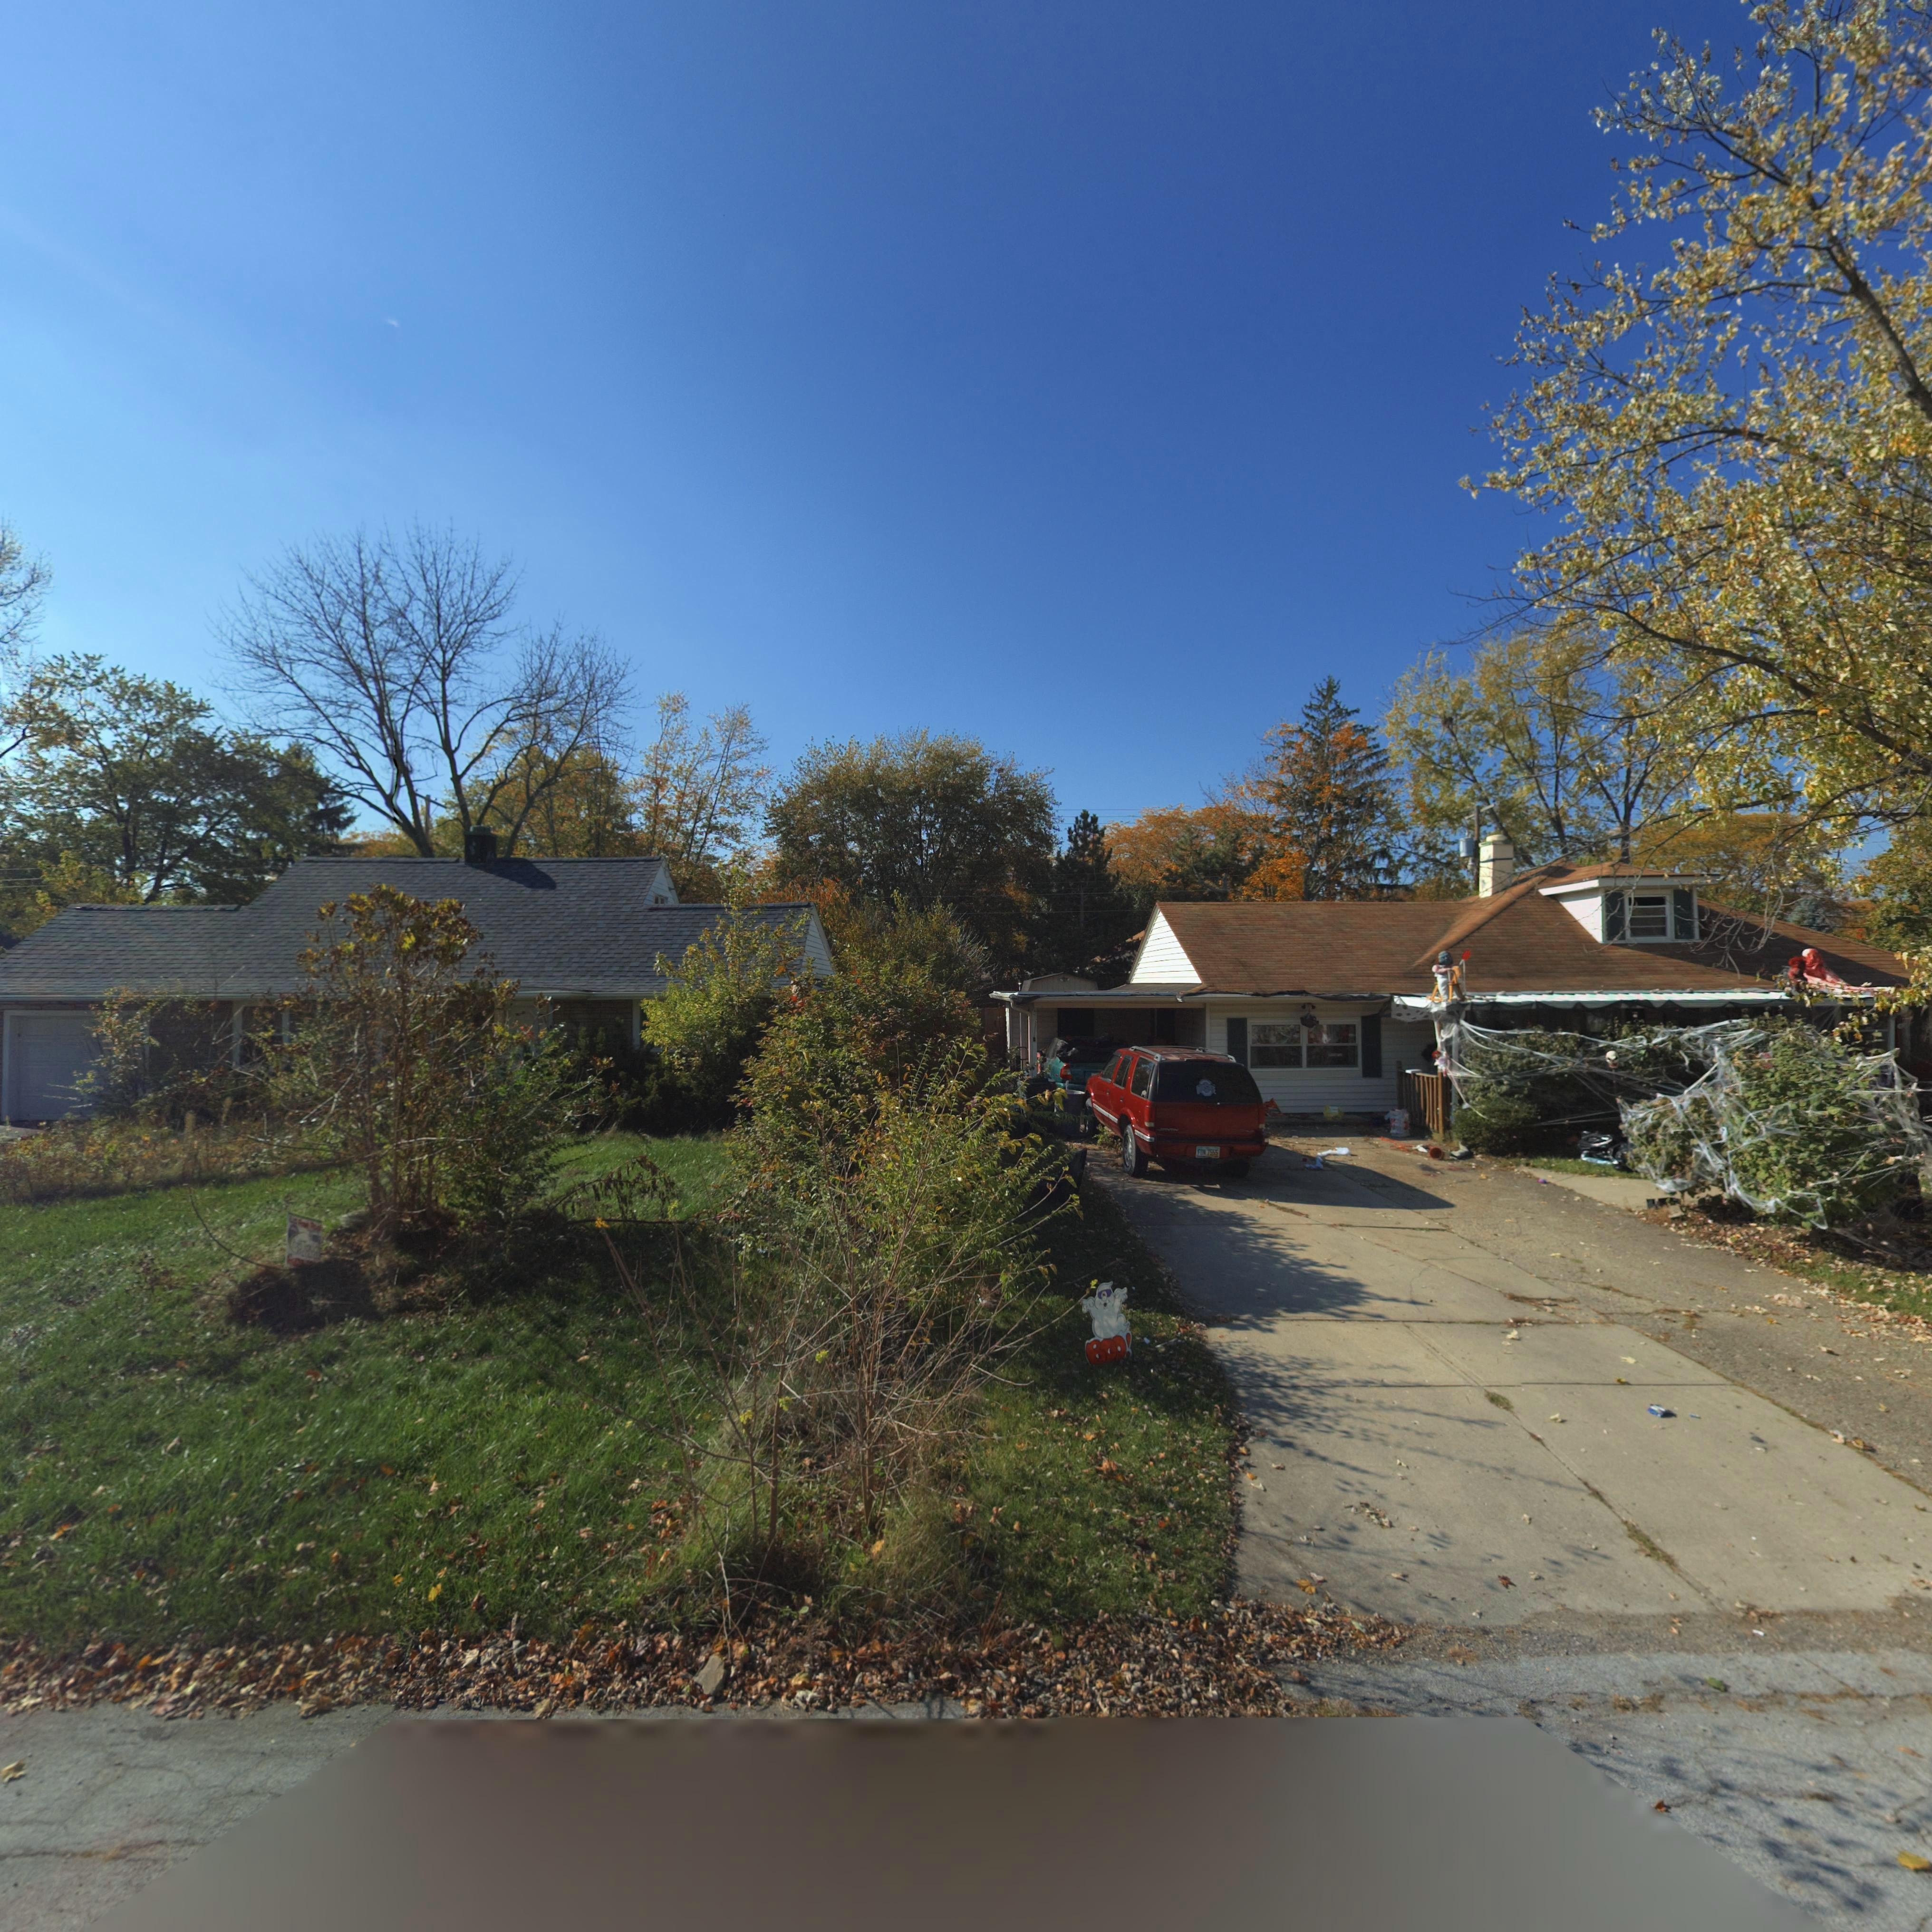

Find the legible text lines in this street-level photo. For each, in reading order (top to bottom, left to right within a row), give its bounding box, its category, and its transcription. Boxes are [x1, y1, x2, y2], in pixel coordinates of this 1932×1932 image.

[1157, 1127, 1180, 1132] None: JImmY
[1197, 1149, 1219, 1156] None: FD**7555
[1085, 1334, 1127, 1367] None: BOO